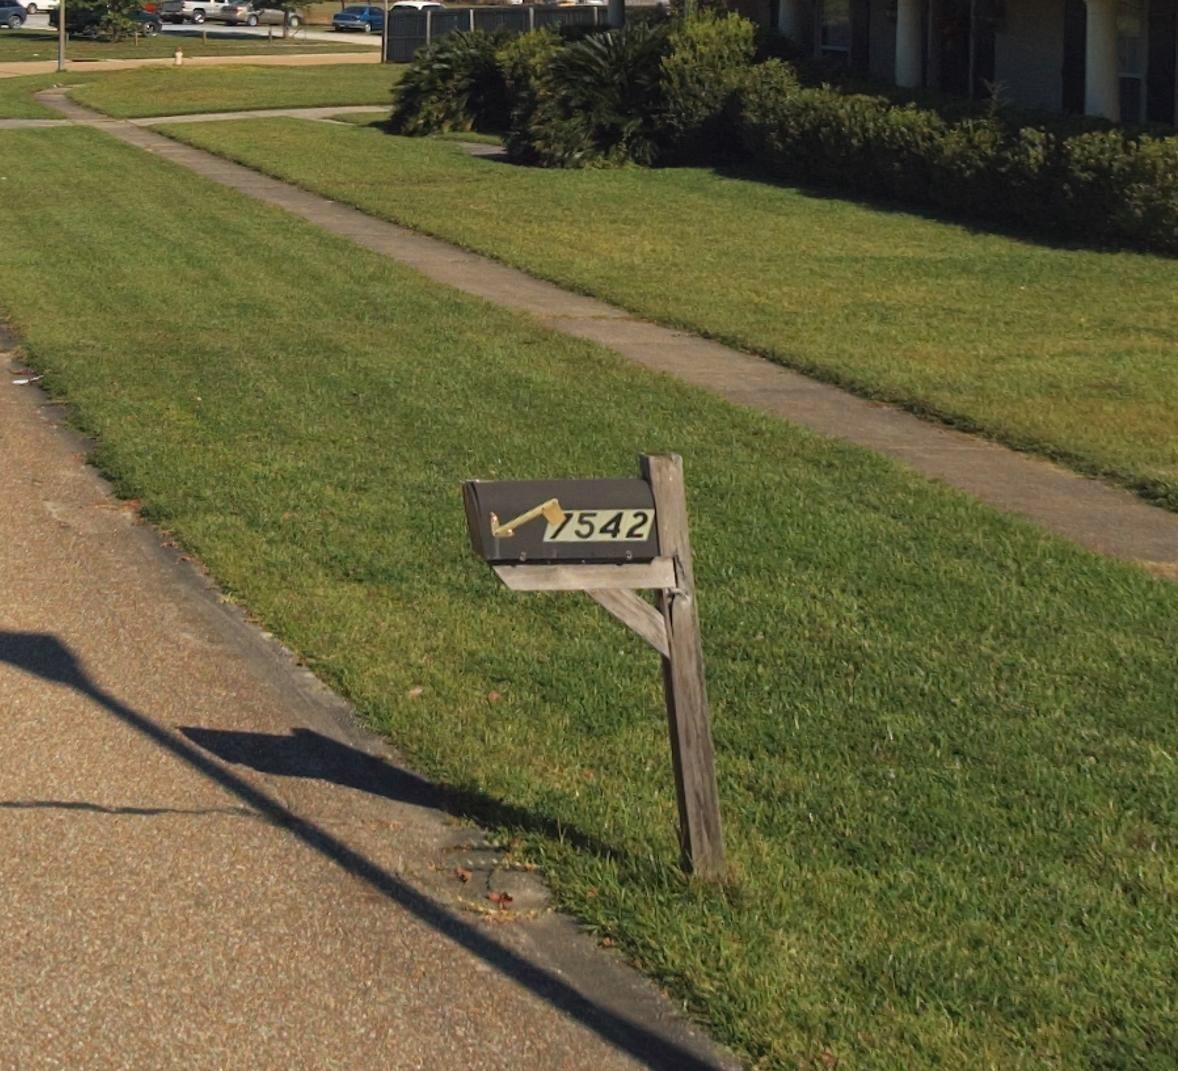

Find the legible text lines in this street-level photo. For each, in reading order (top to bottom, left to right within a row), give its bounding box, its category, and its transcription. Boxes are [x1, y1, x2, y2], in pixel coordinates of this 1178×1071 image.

[547, 511, 651, 540] StreetNumber: 7542